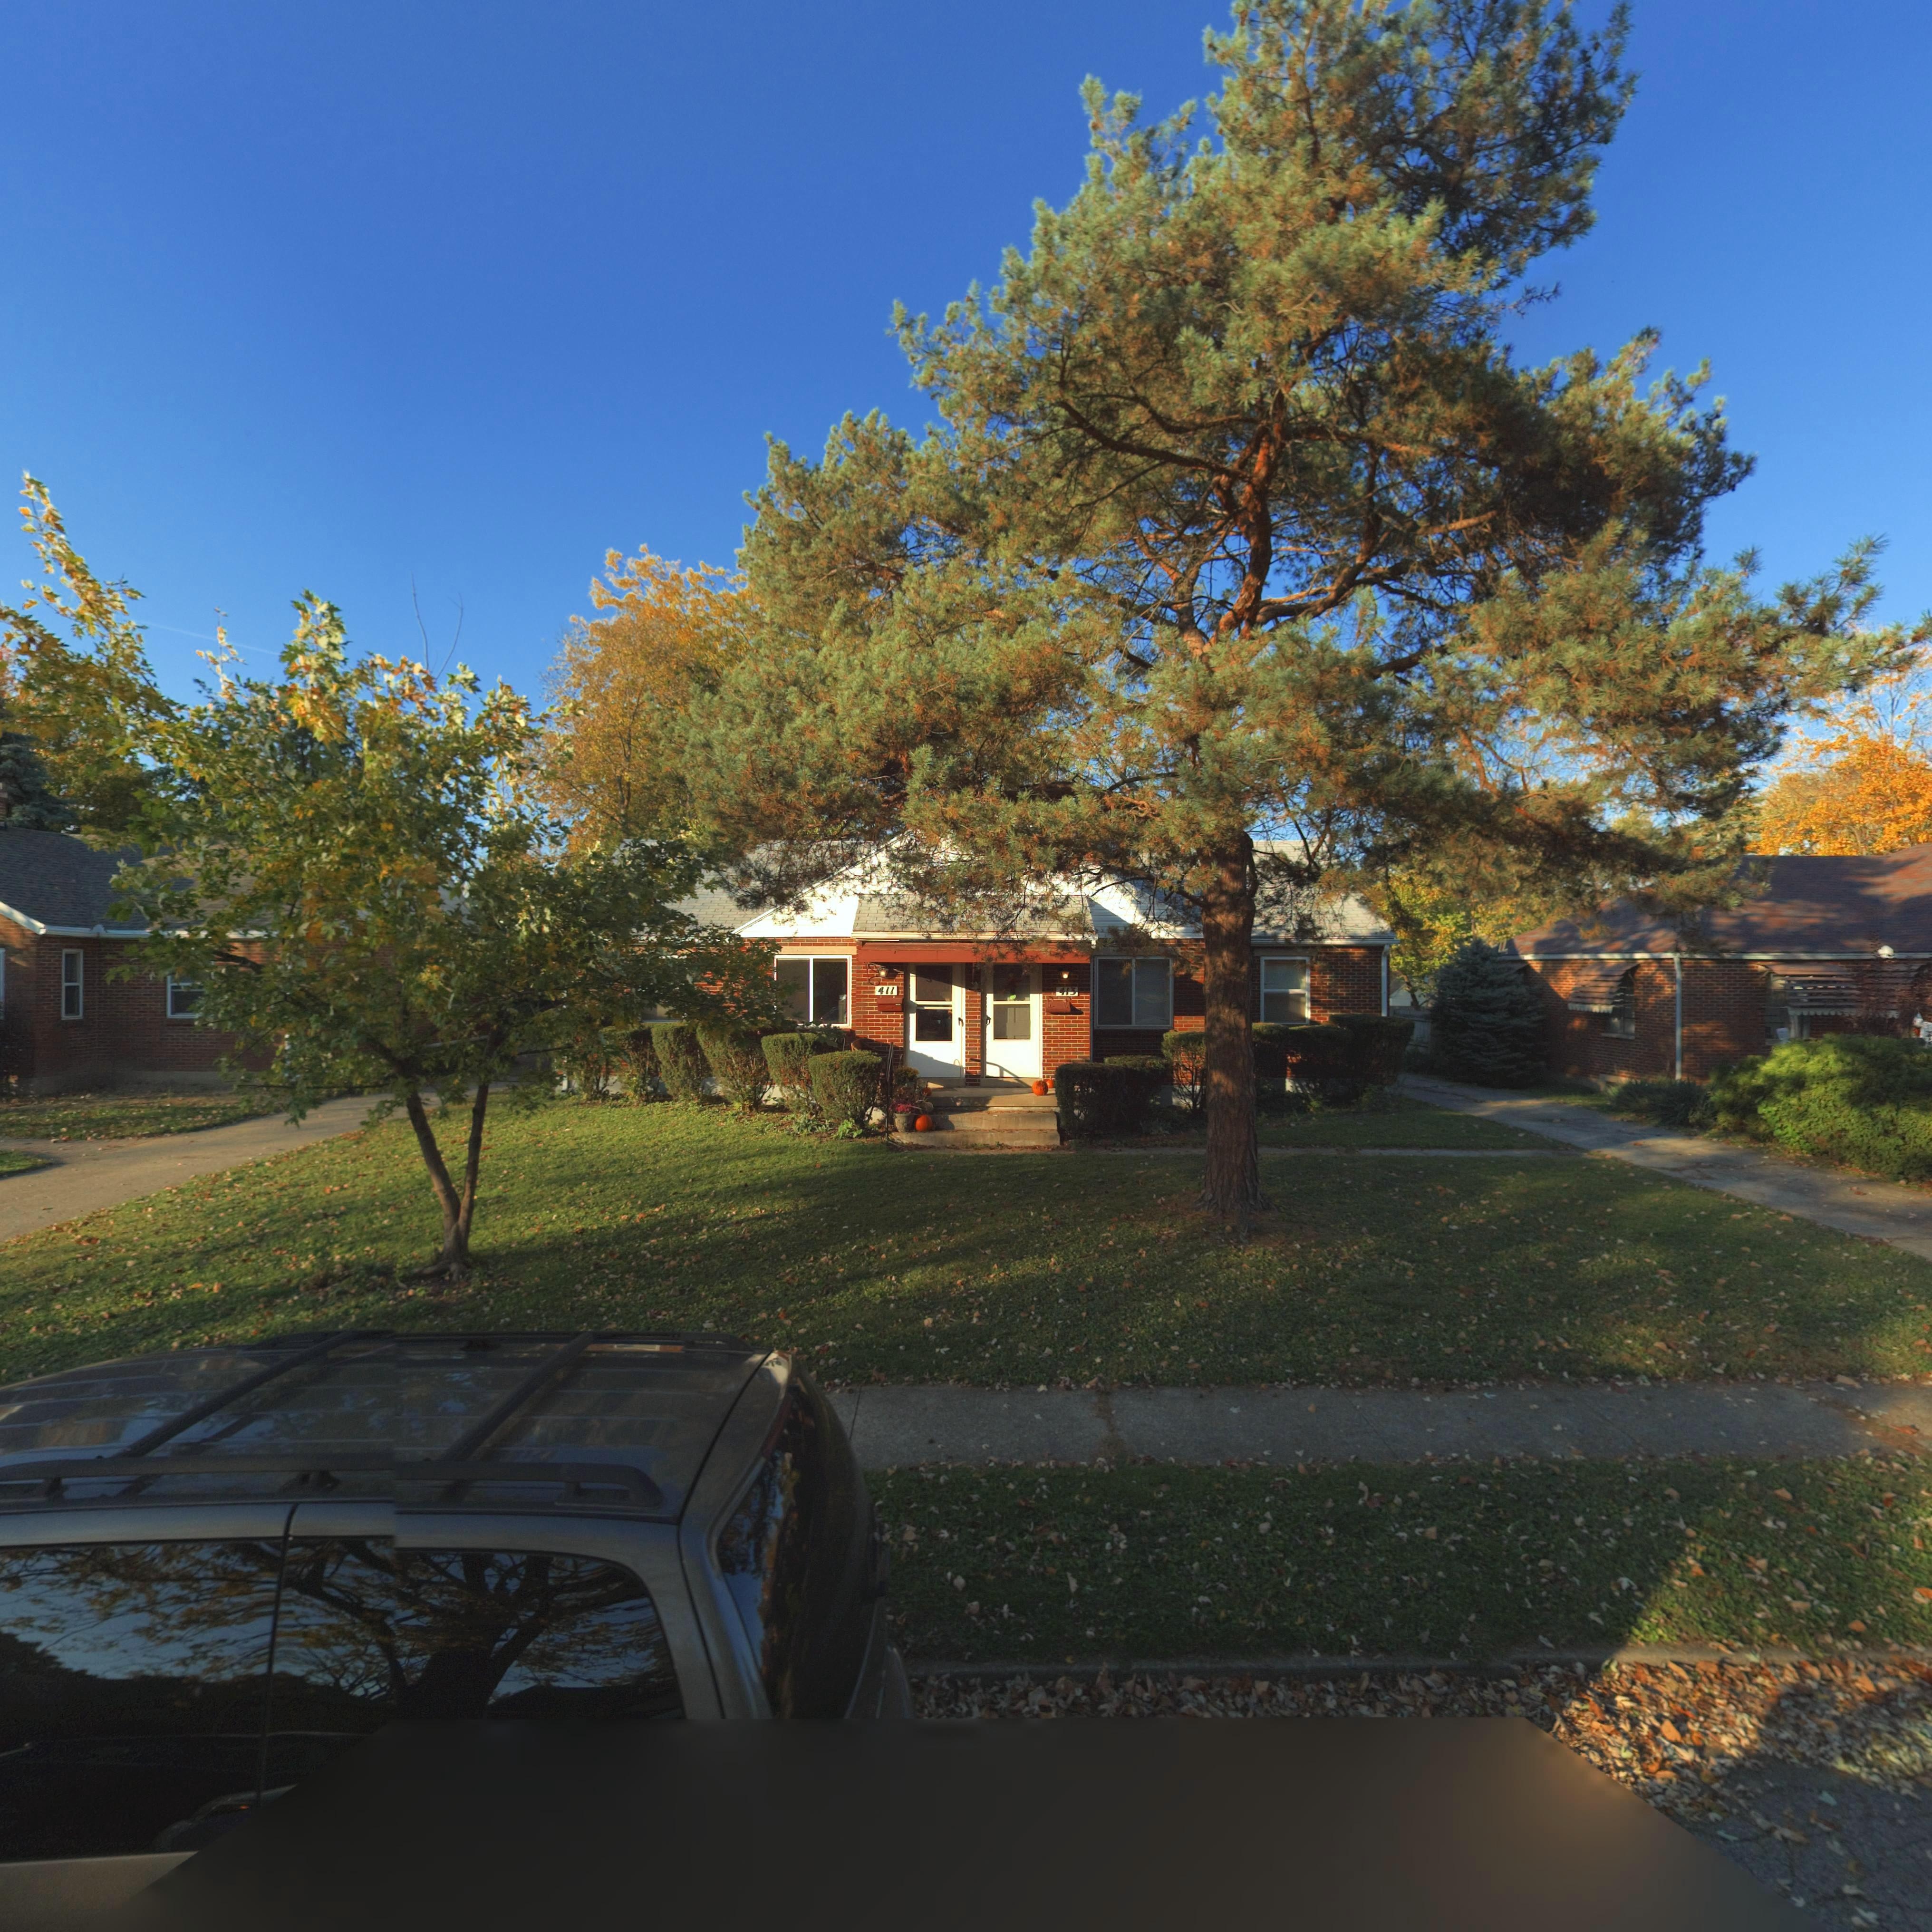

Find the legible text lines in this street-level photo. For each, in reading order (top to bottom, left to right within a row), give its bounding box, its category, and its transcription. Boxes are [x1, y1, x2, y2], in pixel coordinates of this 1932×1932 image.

[877, 985, 895, 995] StreetNumber: 411
[1058, 986, 1077, 996] StreetNumber: 413